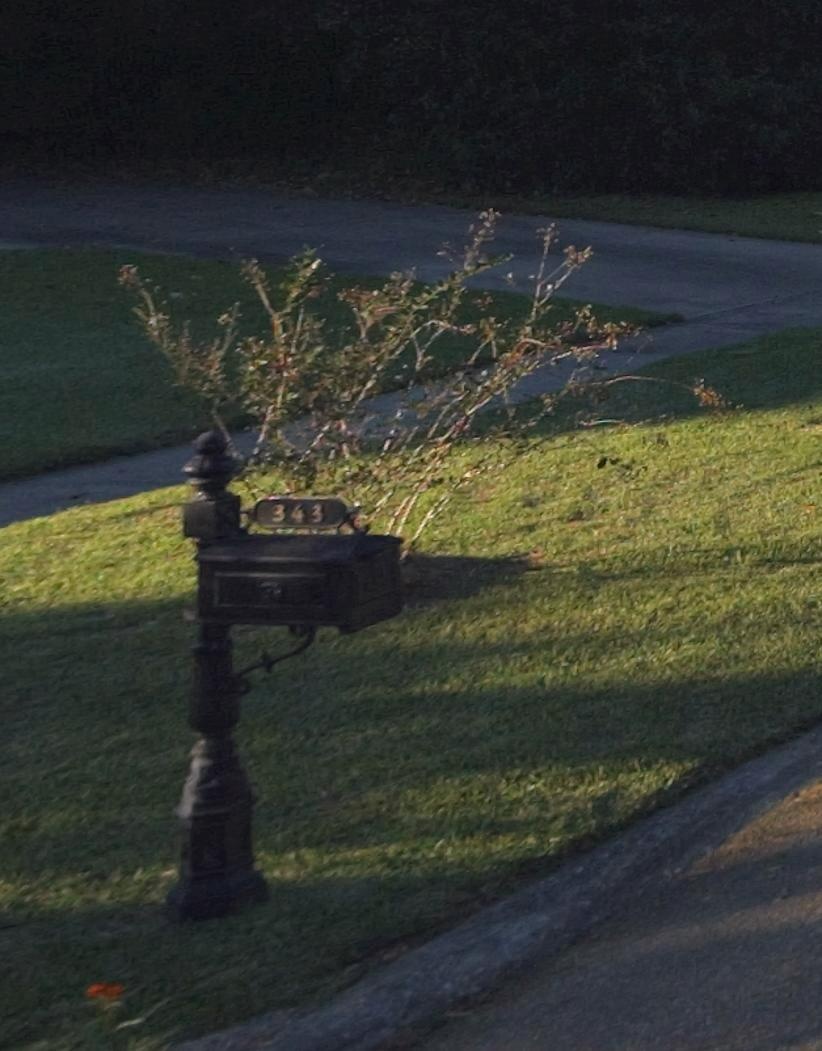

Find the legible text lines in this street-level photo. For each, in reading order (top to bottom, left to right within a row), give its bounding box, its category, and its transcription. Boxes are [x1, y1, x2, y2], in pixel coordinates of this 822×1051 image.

[270, 503, 324, 524] StreetNumber: 343